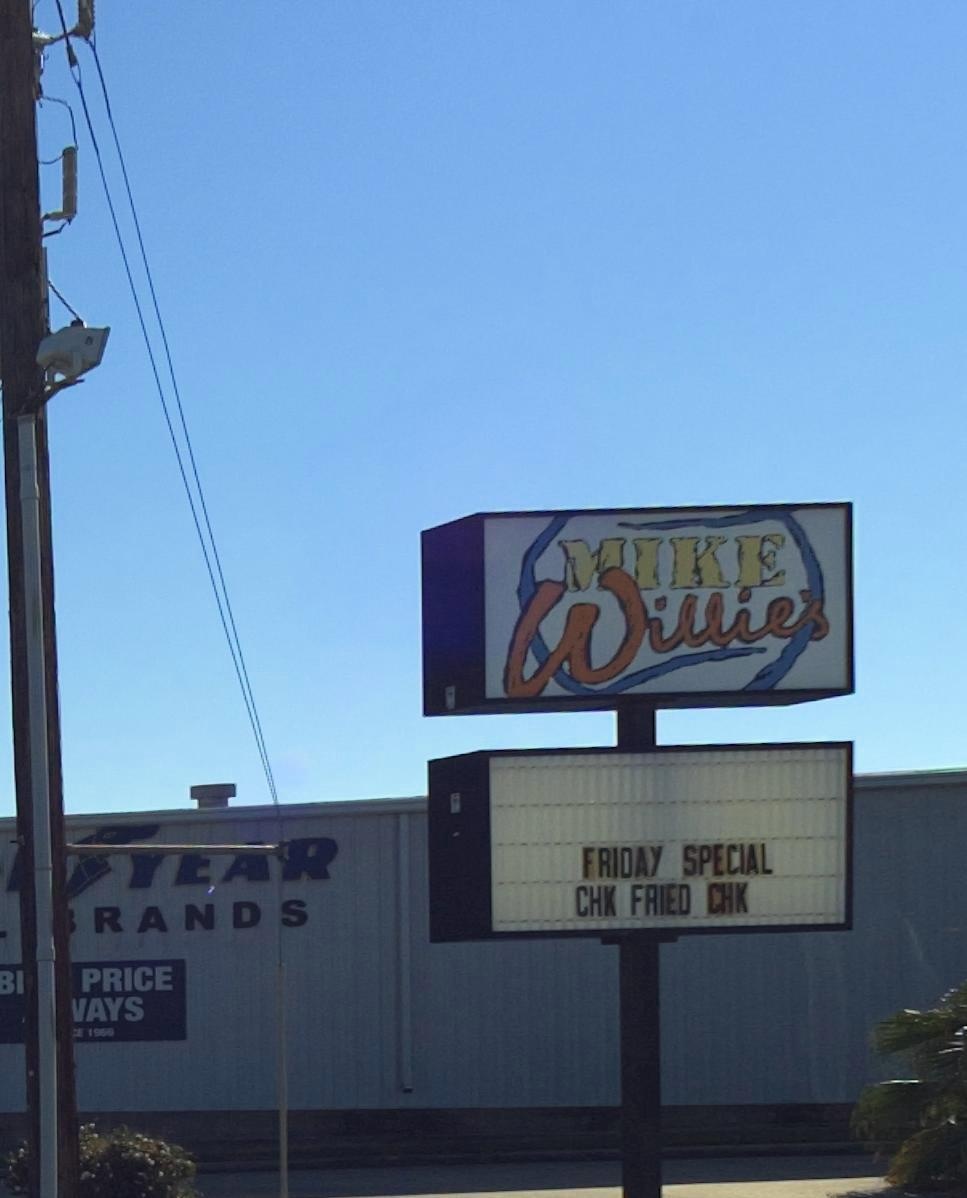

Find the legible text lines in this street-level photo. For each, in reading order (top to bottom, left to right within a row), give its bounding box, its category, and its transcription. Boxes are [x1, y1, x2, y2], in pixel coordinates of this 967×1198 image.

[554, 529, 788, 595] BusinessName: MIKE
[502, 564, 831, 701] BusinessName: Willie's
[280, 835, 341, 882] BusinessName: R
[579, 840, 778, 883] None: FRIDAY SPECIAL
[92, 897, 310, 936] None: RANDS
[572, 879, 752, 920] None: CHK FRIED CHK
[80, 963, 174, 995] None: PRICE
[83, 994, 147, 1024] None: AYS
[86, 1024, 117, 1040] StreetNumber: 19**